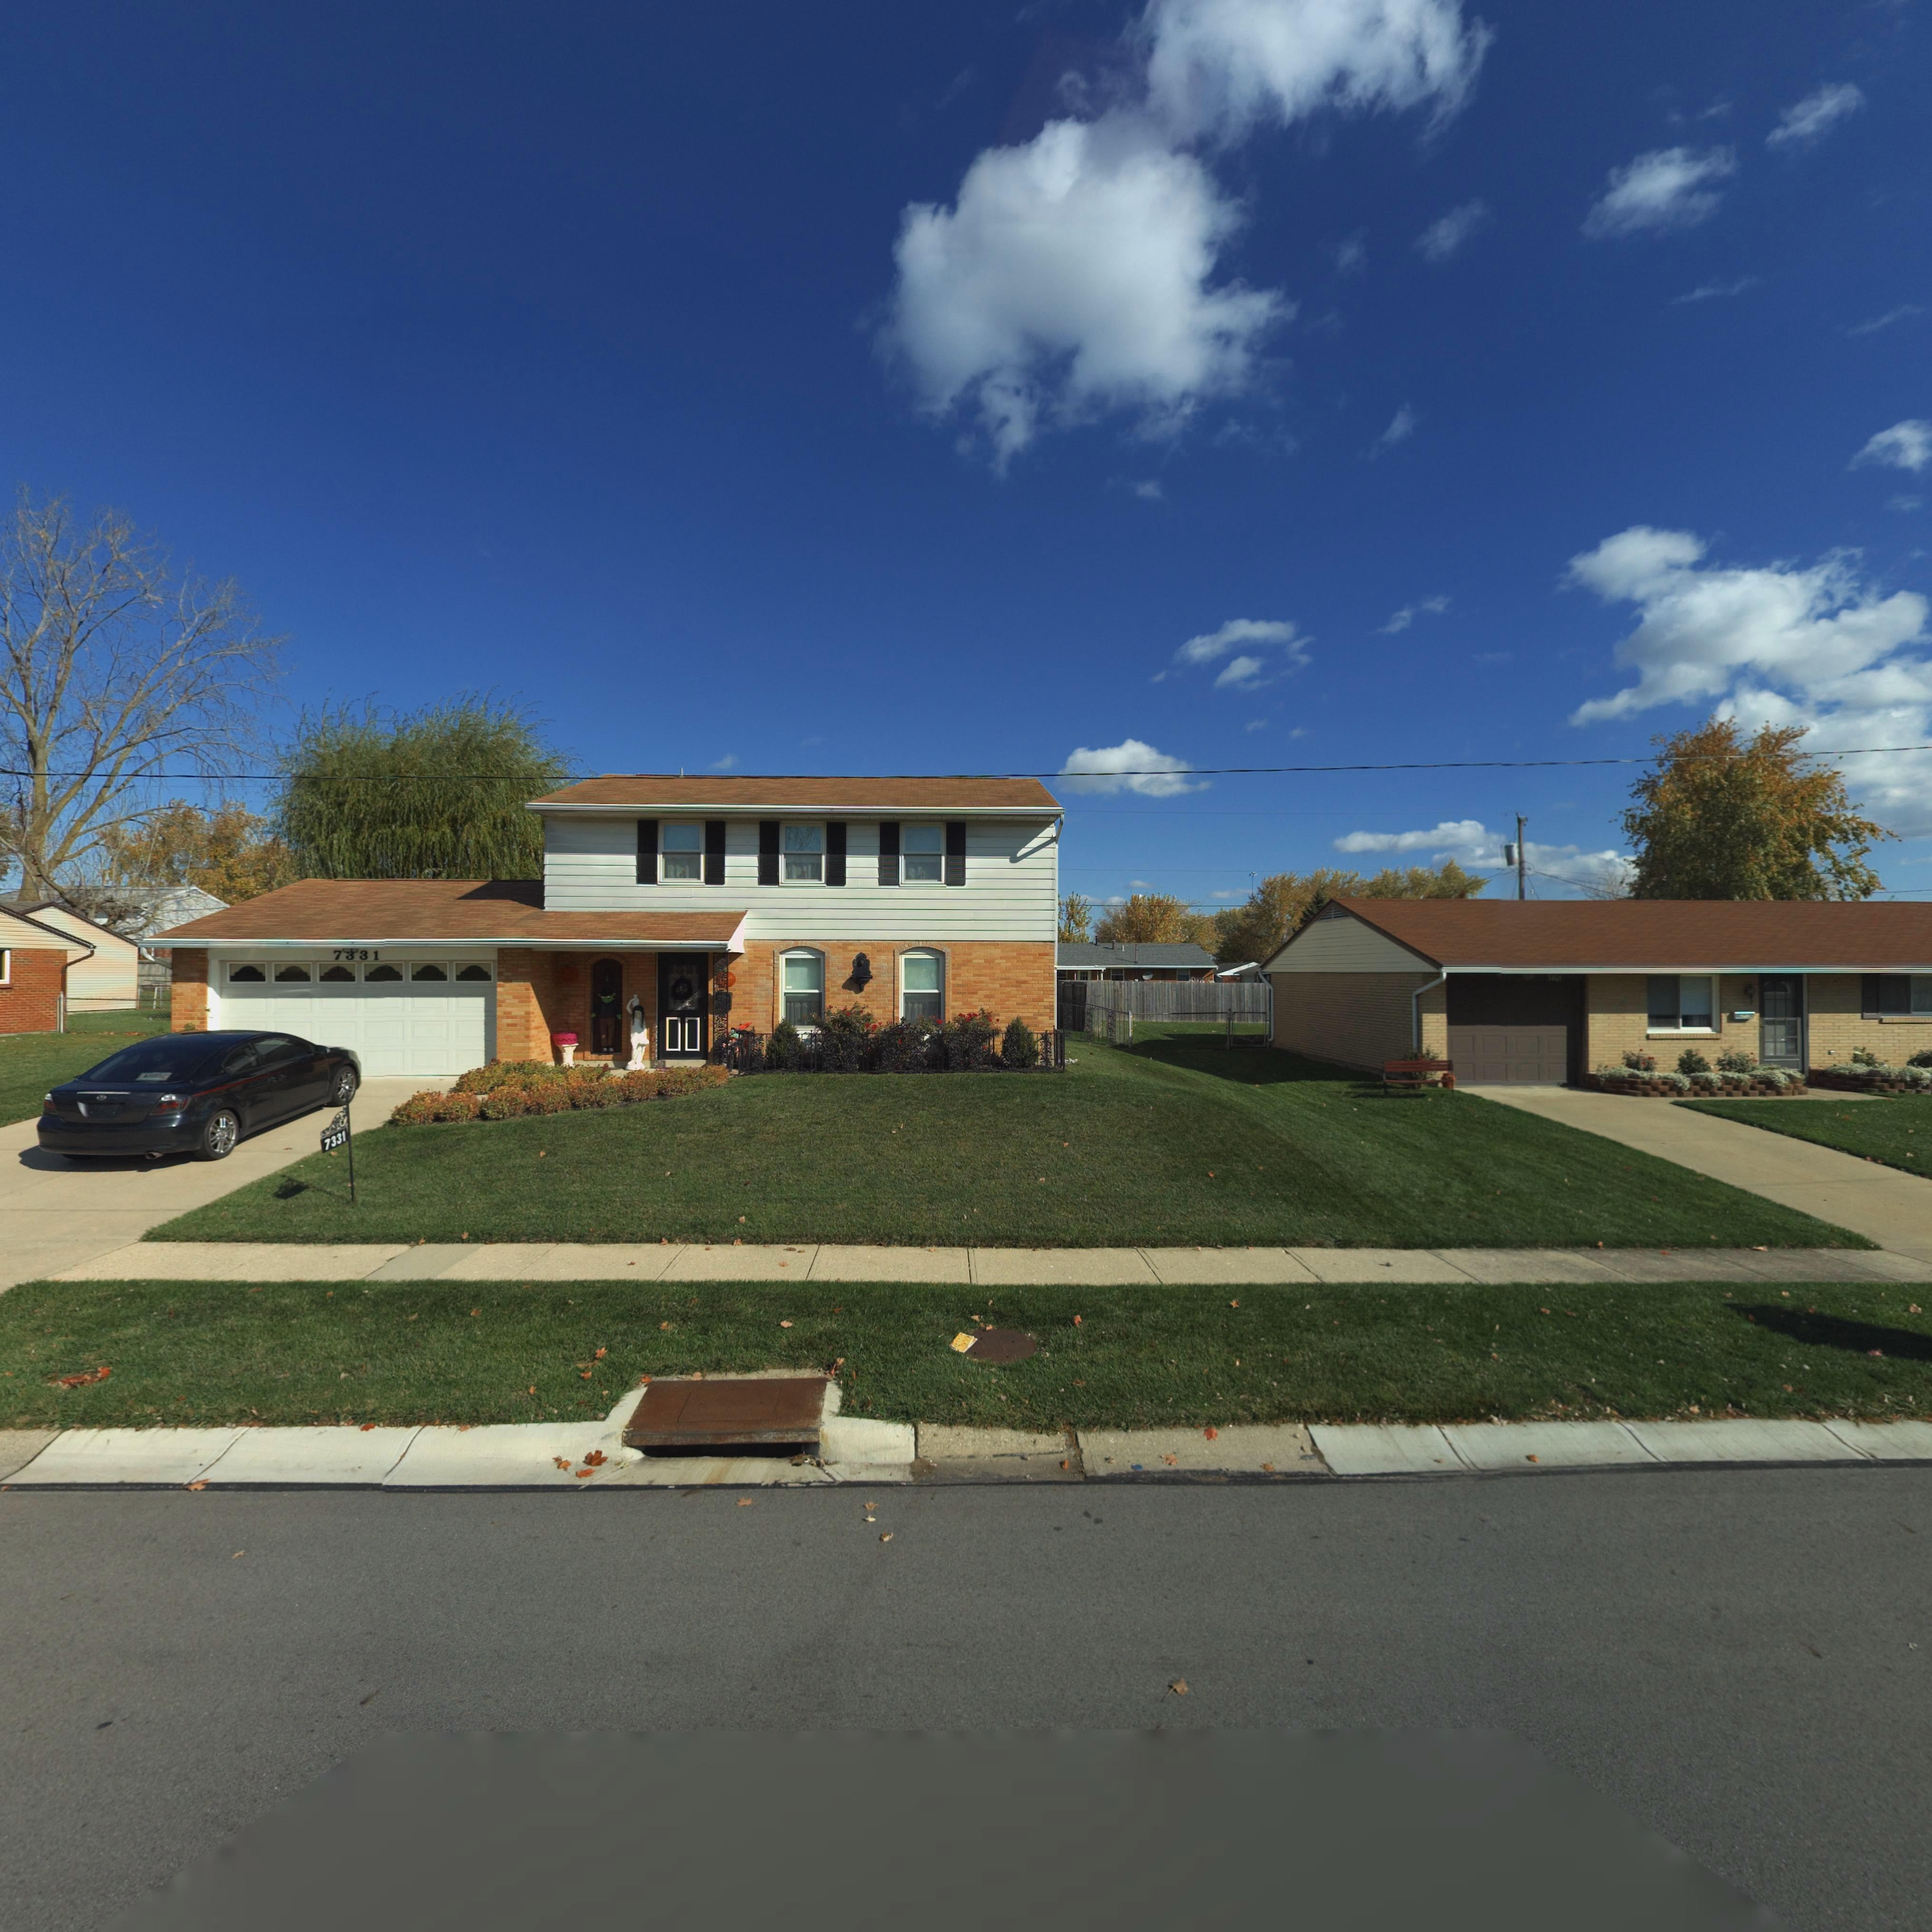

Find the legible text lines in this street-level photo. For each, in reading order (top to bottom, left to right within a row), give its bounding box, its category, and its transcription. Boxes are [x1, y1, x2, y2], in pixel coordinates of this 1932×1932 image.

[332, 949, 380, 962] StreetNumber: 7*31
[1545, 974, 1564, 983] StreetNumber: **0*
[323, 1129, 348, 1152] StreetNumber: 7331